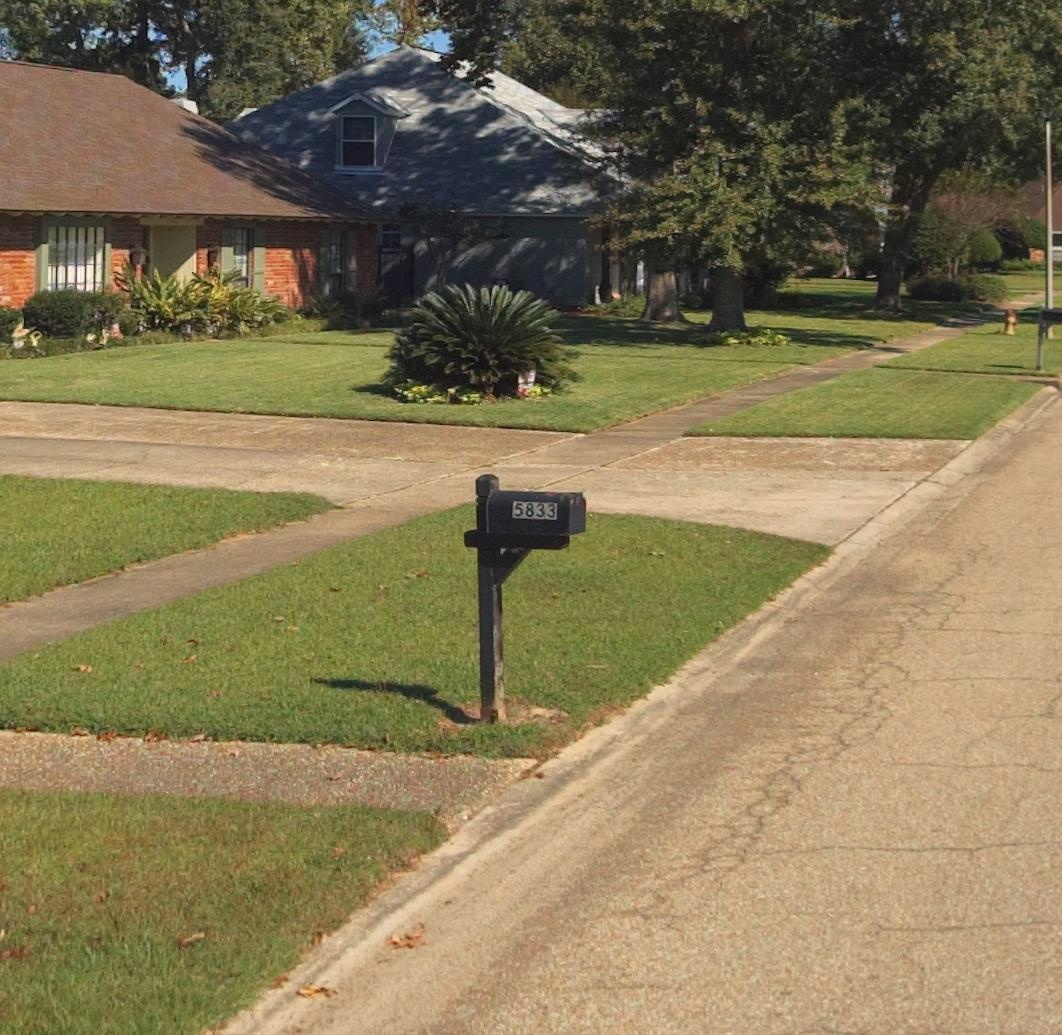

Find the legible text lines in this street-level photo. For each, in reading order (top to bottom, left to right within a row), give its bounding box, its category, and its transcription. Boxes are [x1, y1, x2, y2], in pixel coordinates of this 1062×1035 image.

[512, 501, 557, 520] StreetNumber: 5833